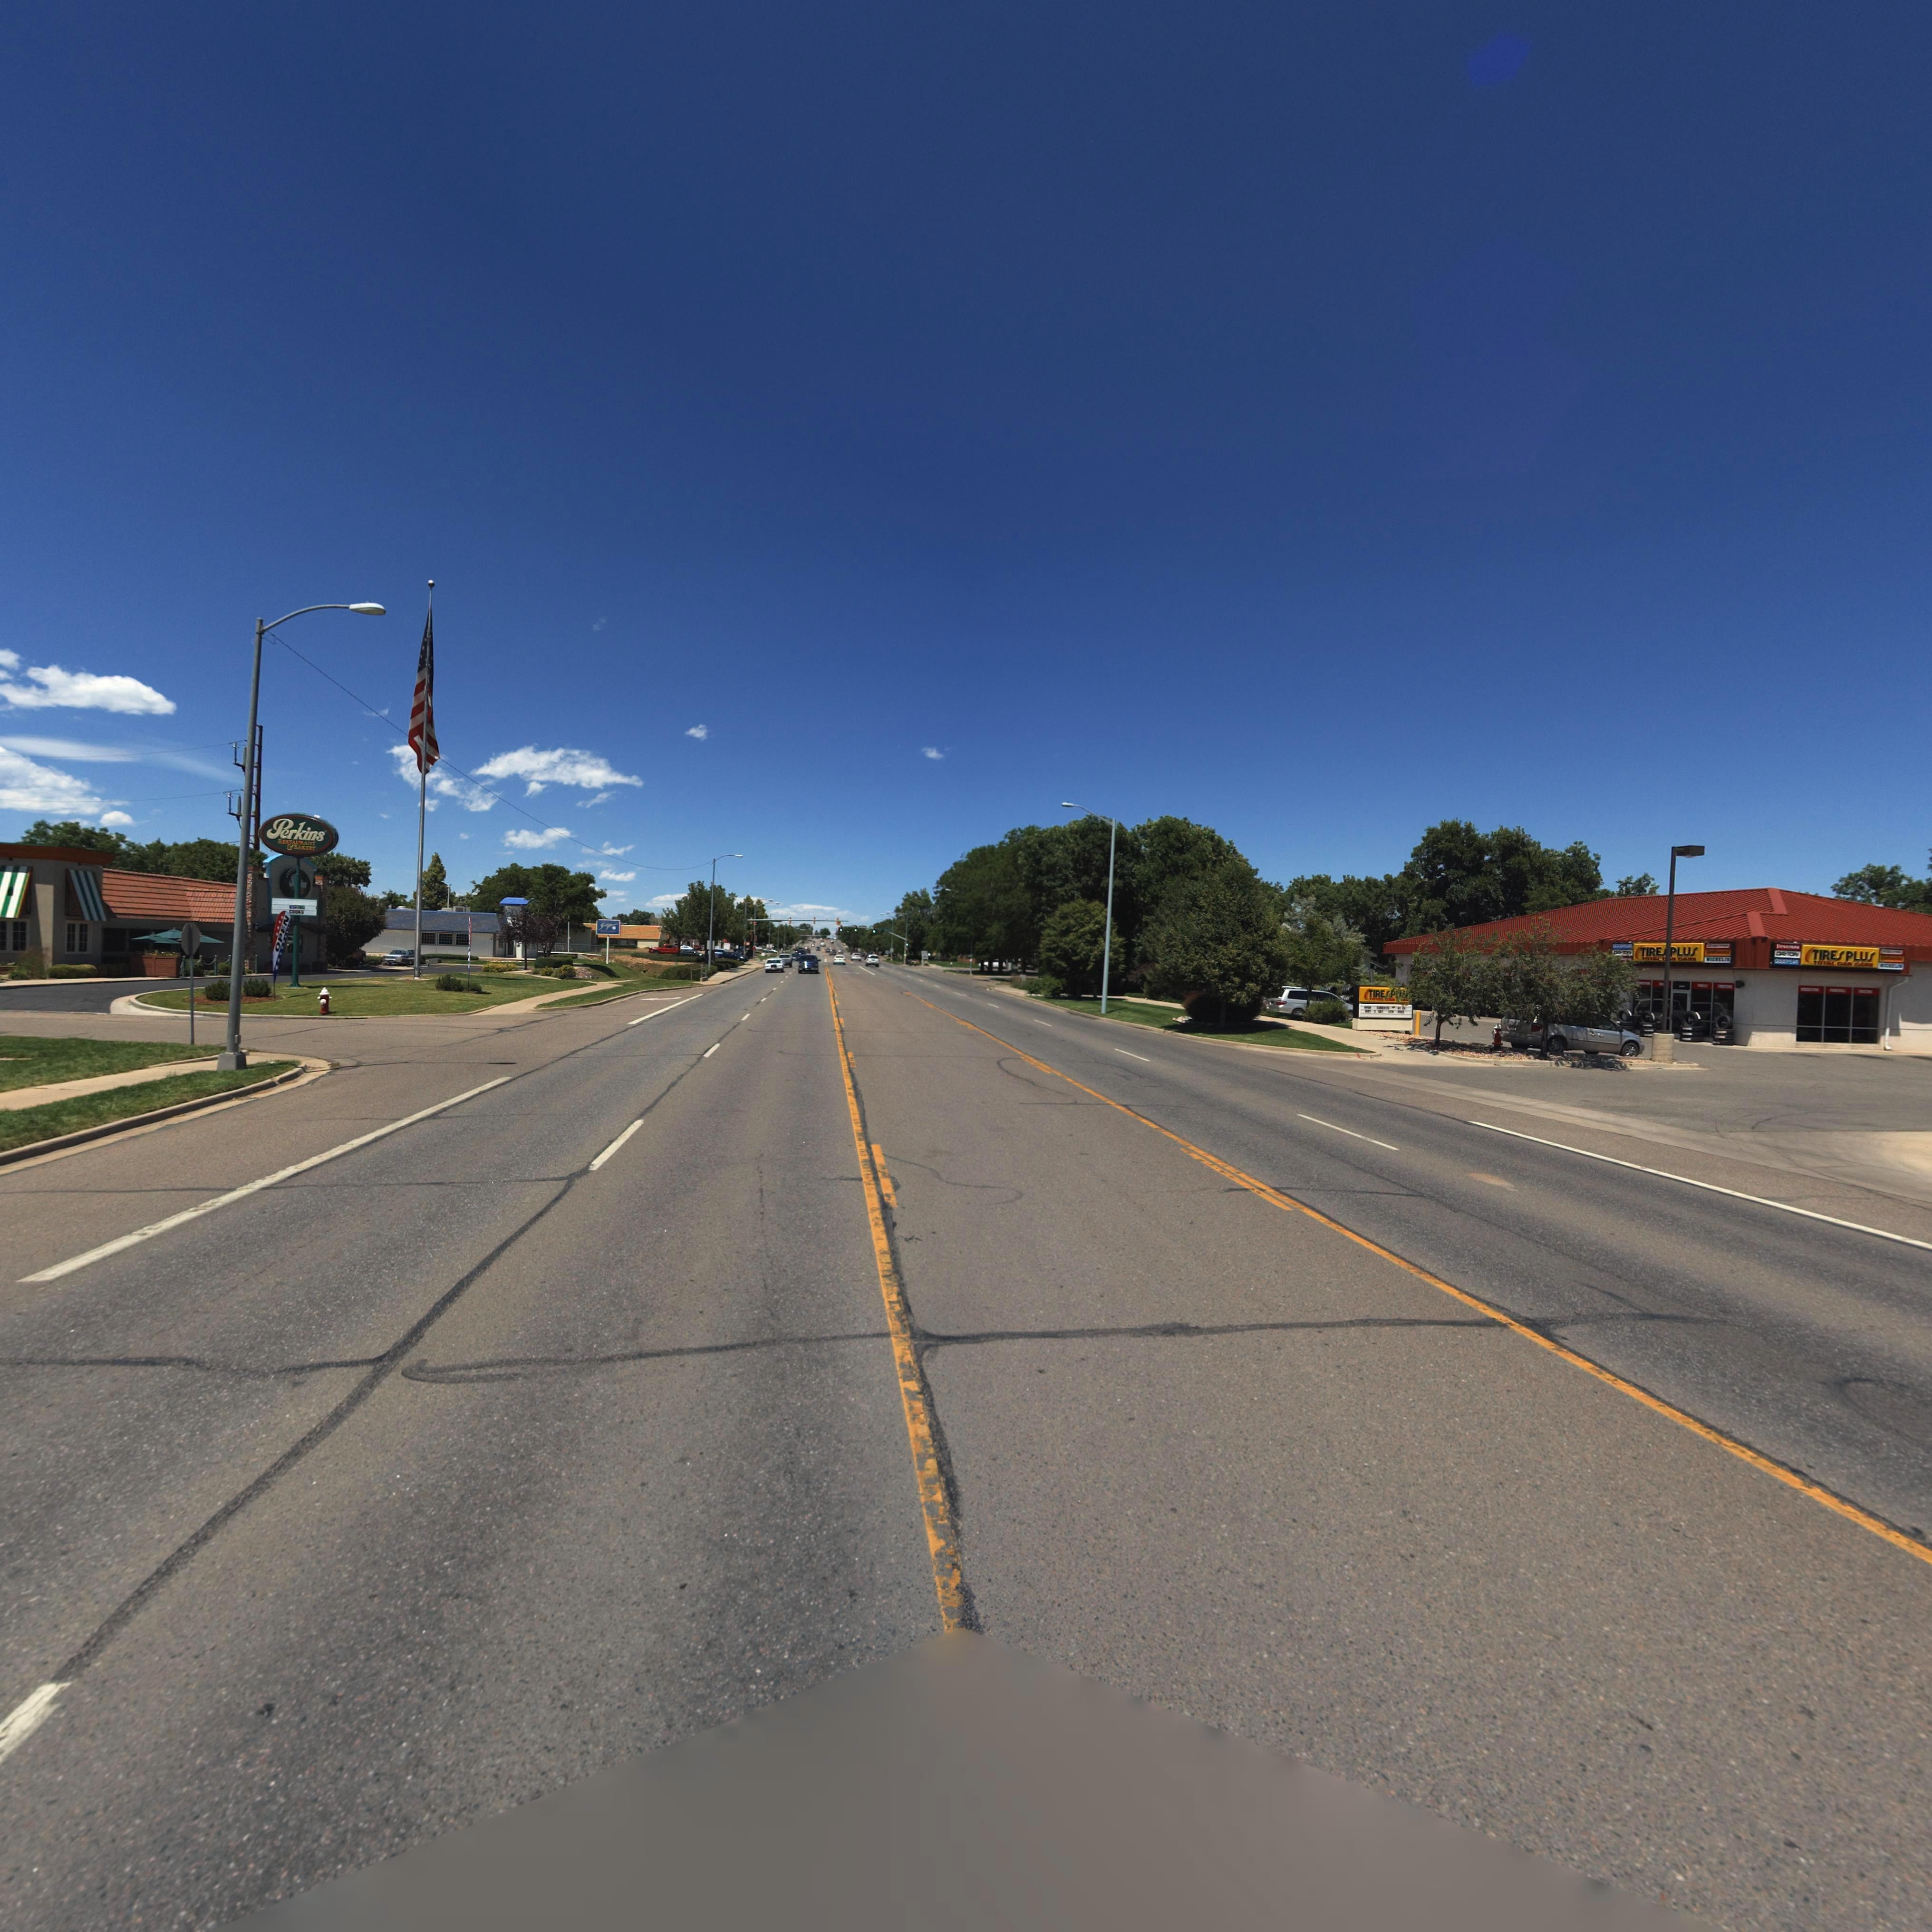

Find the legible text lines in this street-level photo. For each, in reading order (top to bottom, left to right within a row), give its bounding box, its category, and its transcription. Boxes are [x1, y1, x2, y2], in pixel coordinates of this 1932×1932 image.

[264, 816, 326, 843] BusinessName: Perkins
[1640, 947, 1699, 956] None: TIRE*PLUS
[1811, 949, 1876, 962] BusinessName: TIRESPLUS
[1368, 989, 1385, 997] BusinessName: TIRE*